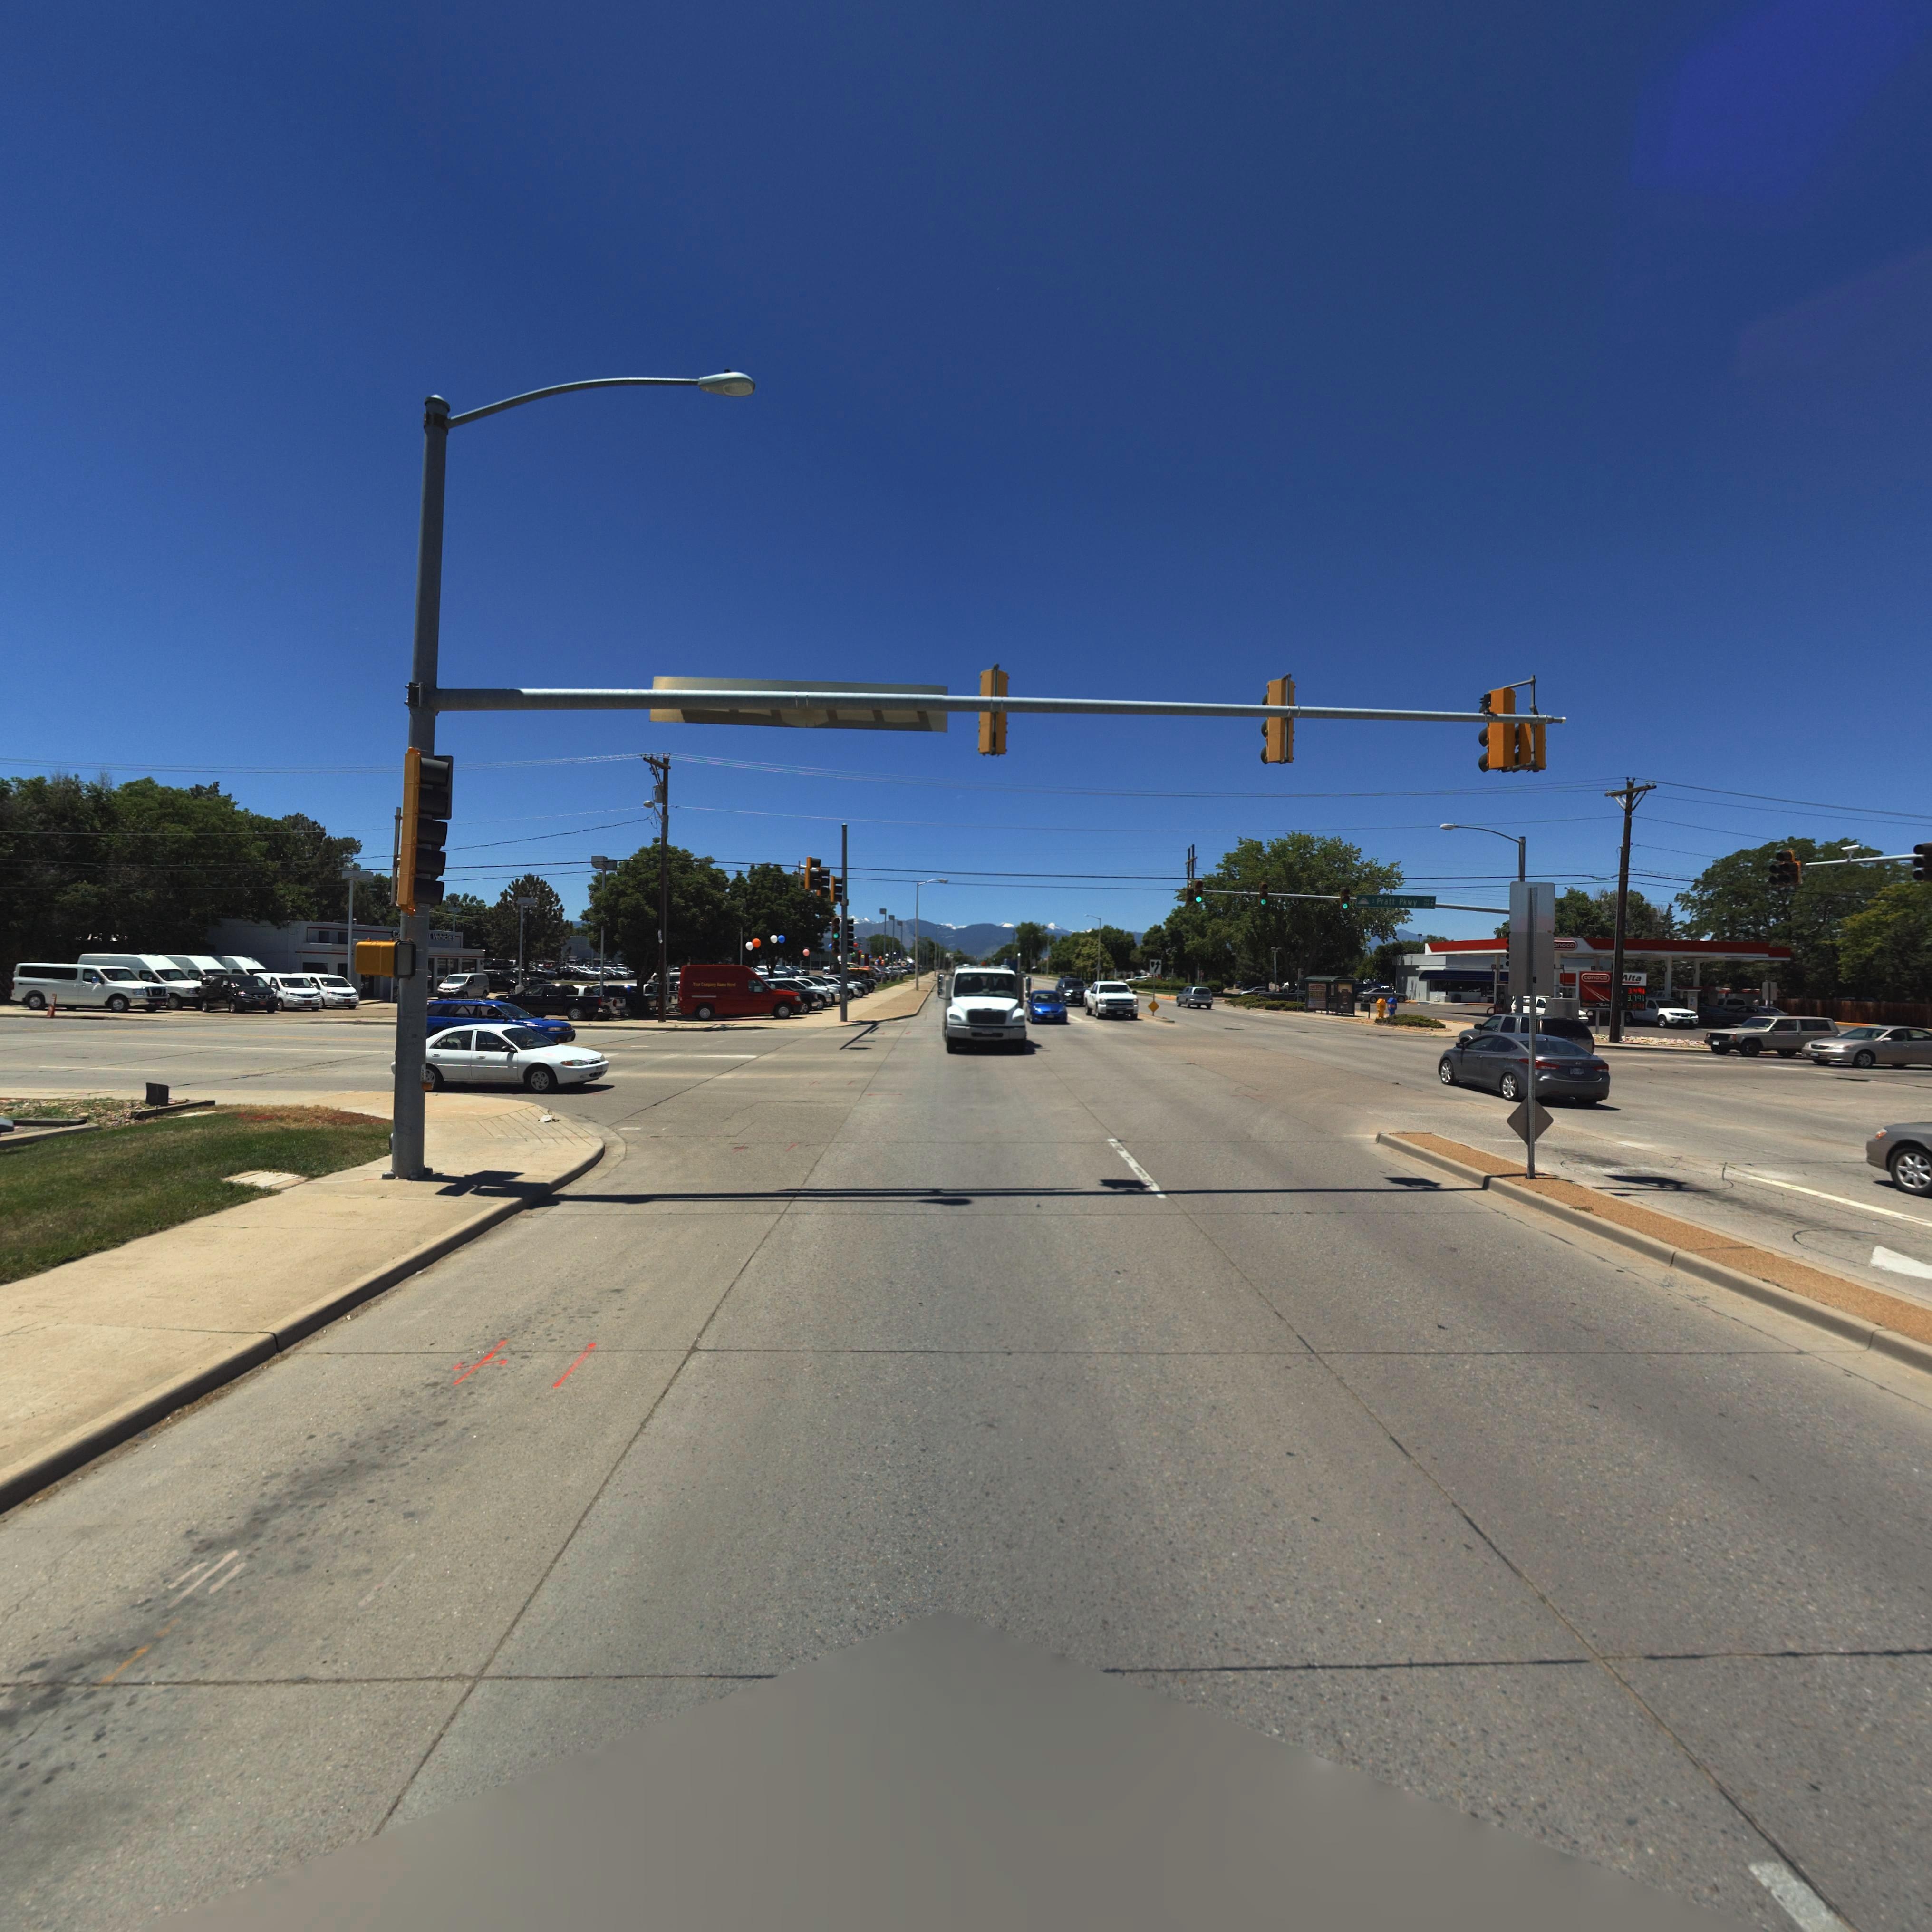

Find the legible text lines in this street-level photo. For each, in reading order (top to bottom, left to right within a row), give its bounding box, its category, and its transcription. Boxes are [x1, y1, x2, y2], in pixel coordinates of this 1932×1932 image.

[1371, 897, 1418, 907] StreetName: S Pratt Pkwy
[1554, 943, 1575, 948] BusinessName: onoco
[1584, 975, 1607, 980] BusinessName: conoco
[1621, 973, 1642, 981] BusinessName: Alta